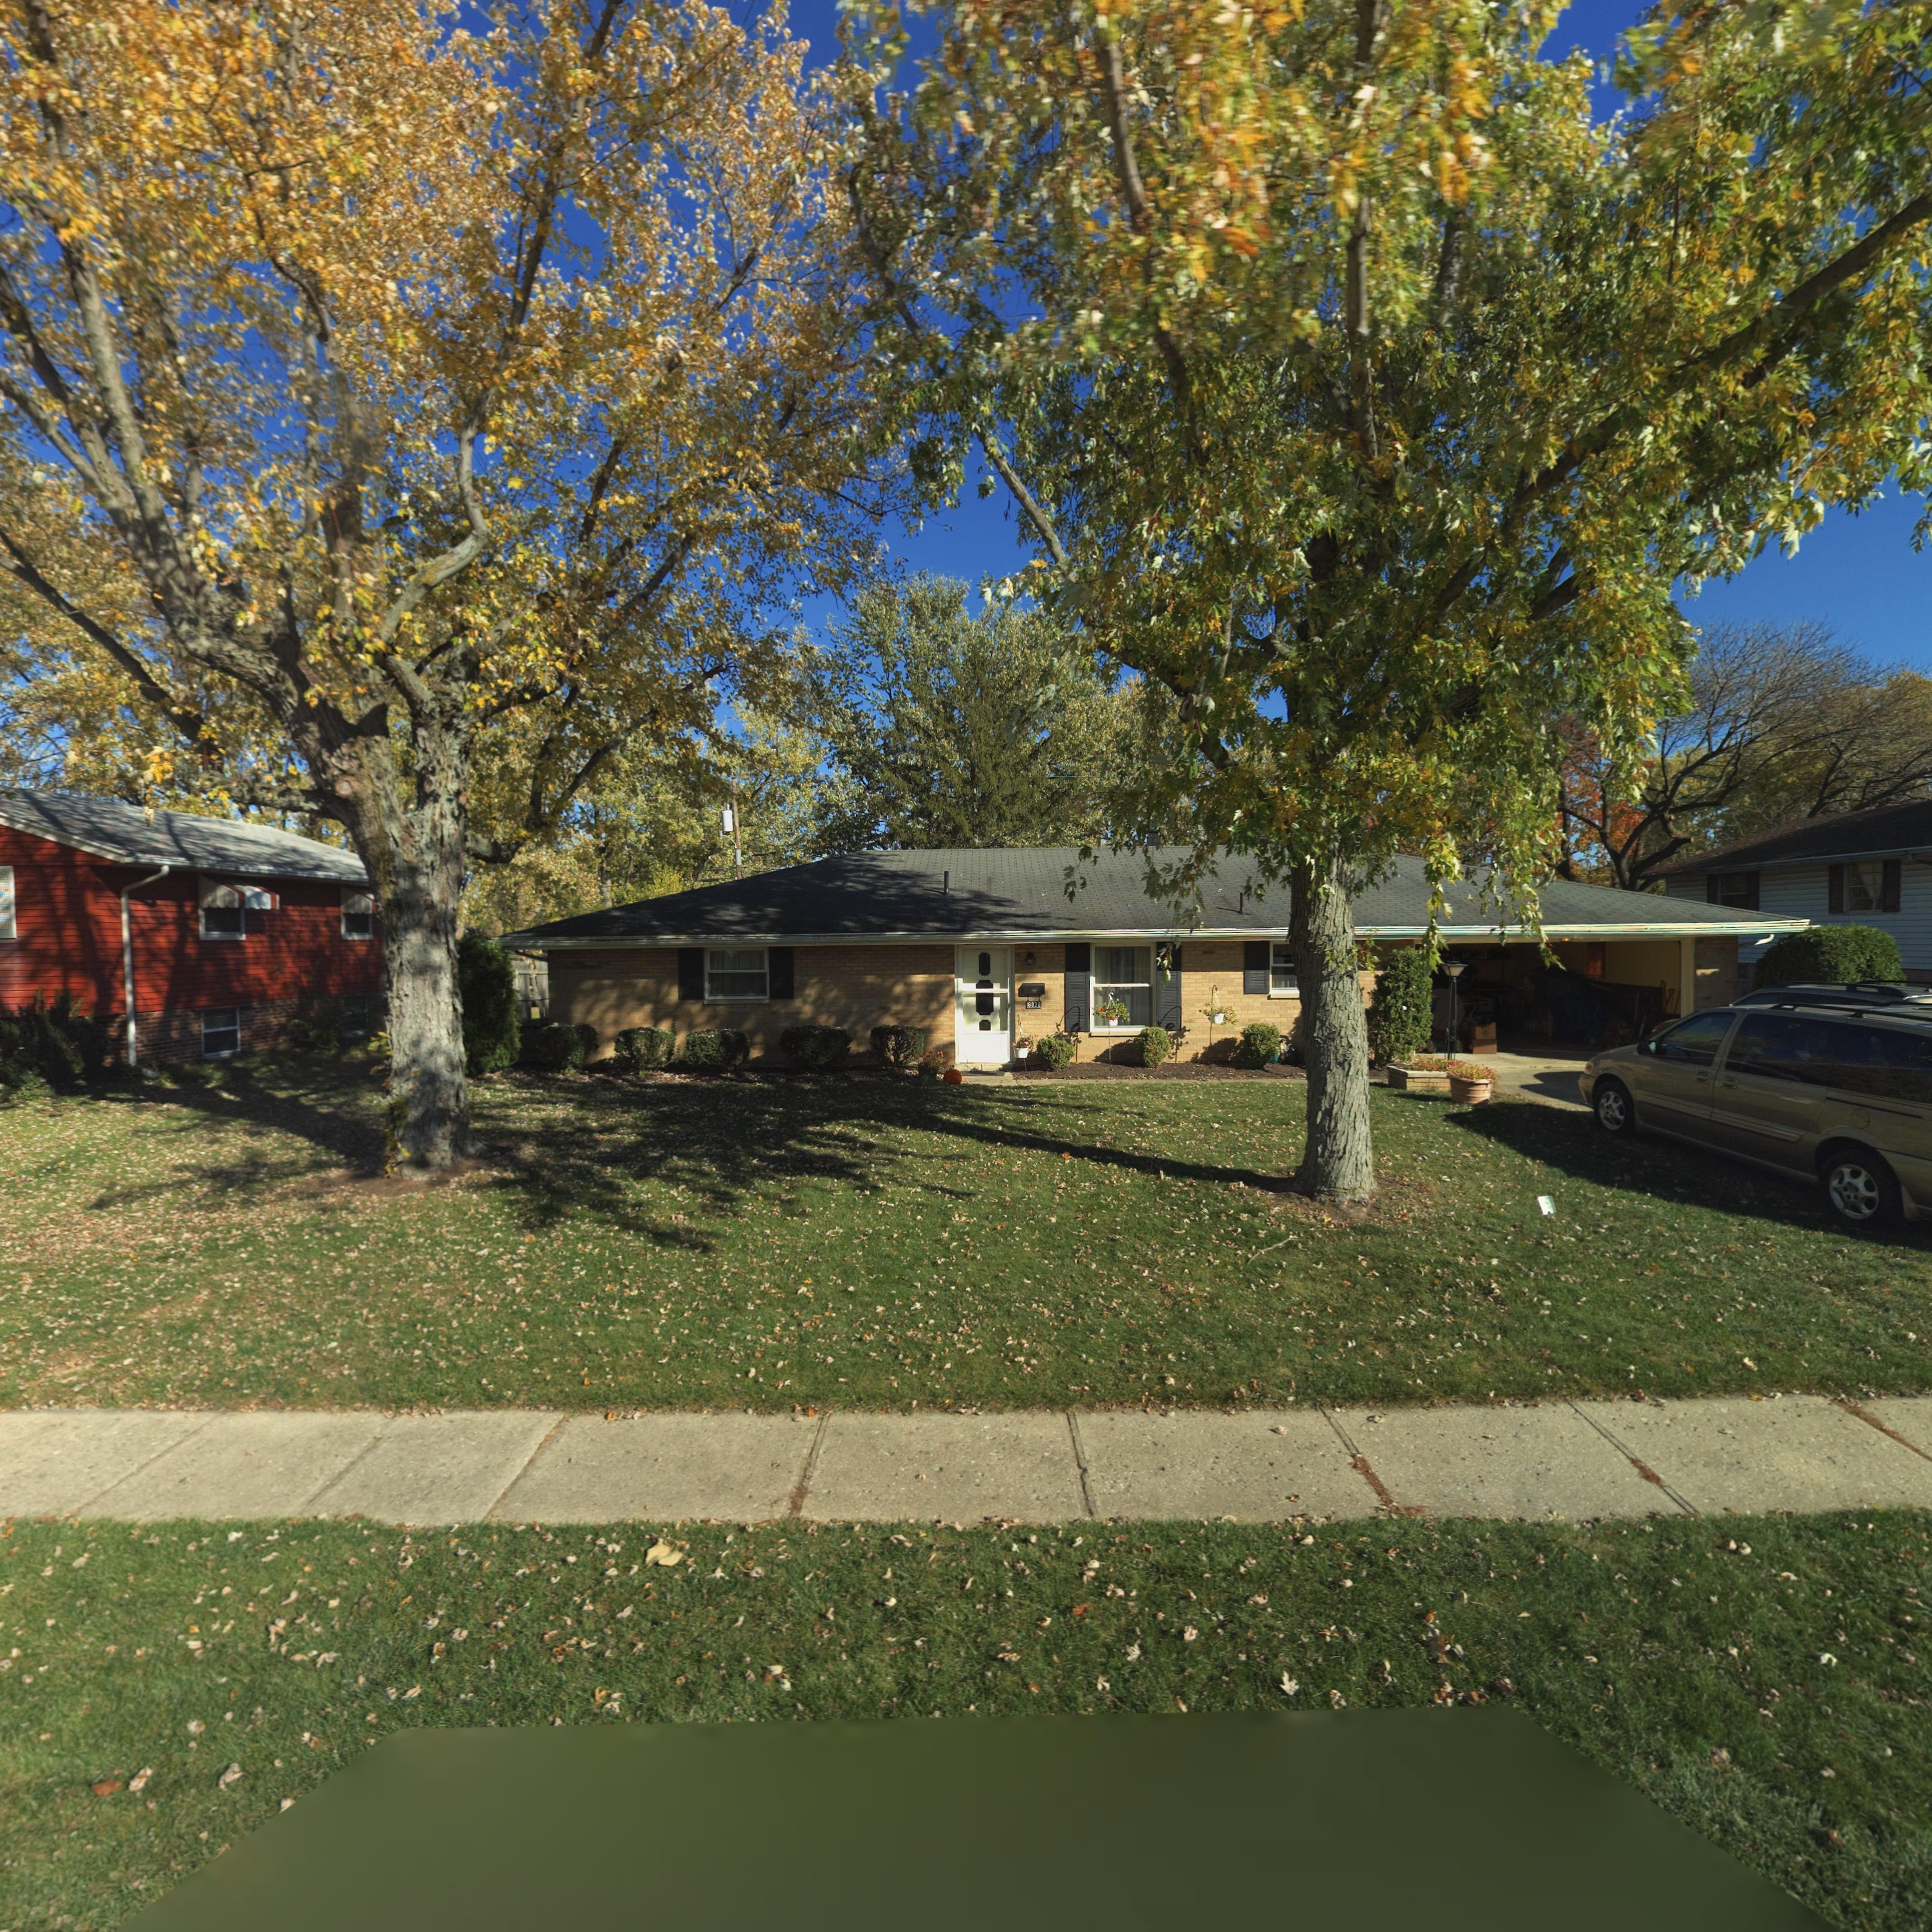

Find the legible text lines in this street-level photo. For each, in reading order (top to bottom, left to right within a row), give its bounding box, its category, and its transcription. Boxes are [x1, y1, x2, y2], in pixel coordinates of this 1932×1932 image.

[1027, 1002, 1041, 1008] StreetNumber: 6820